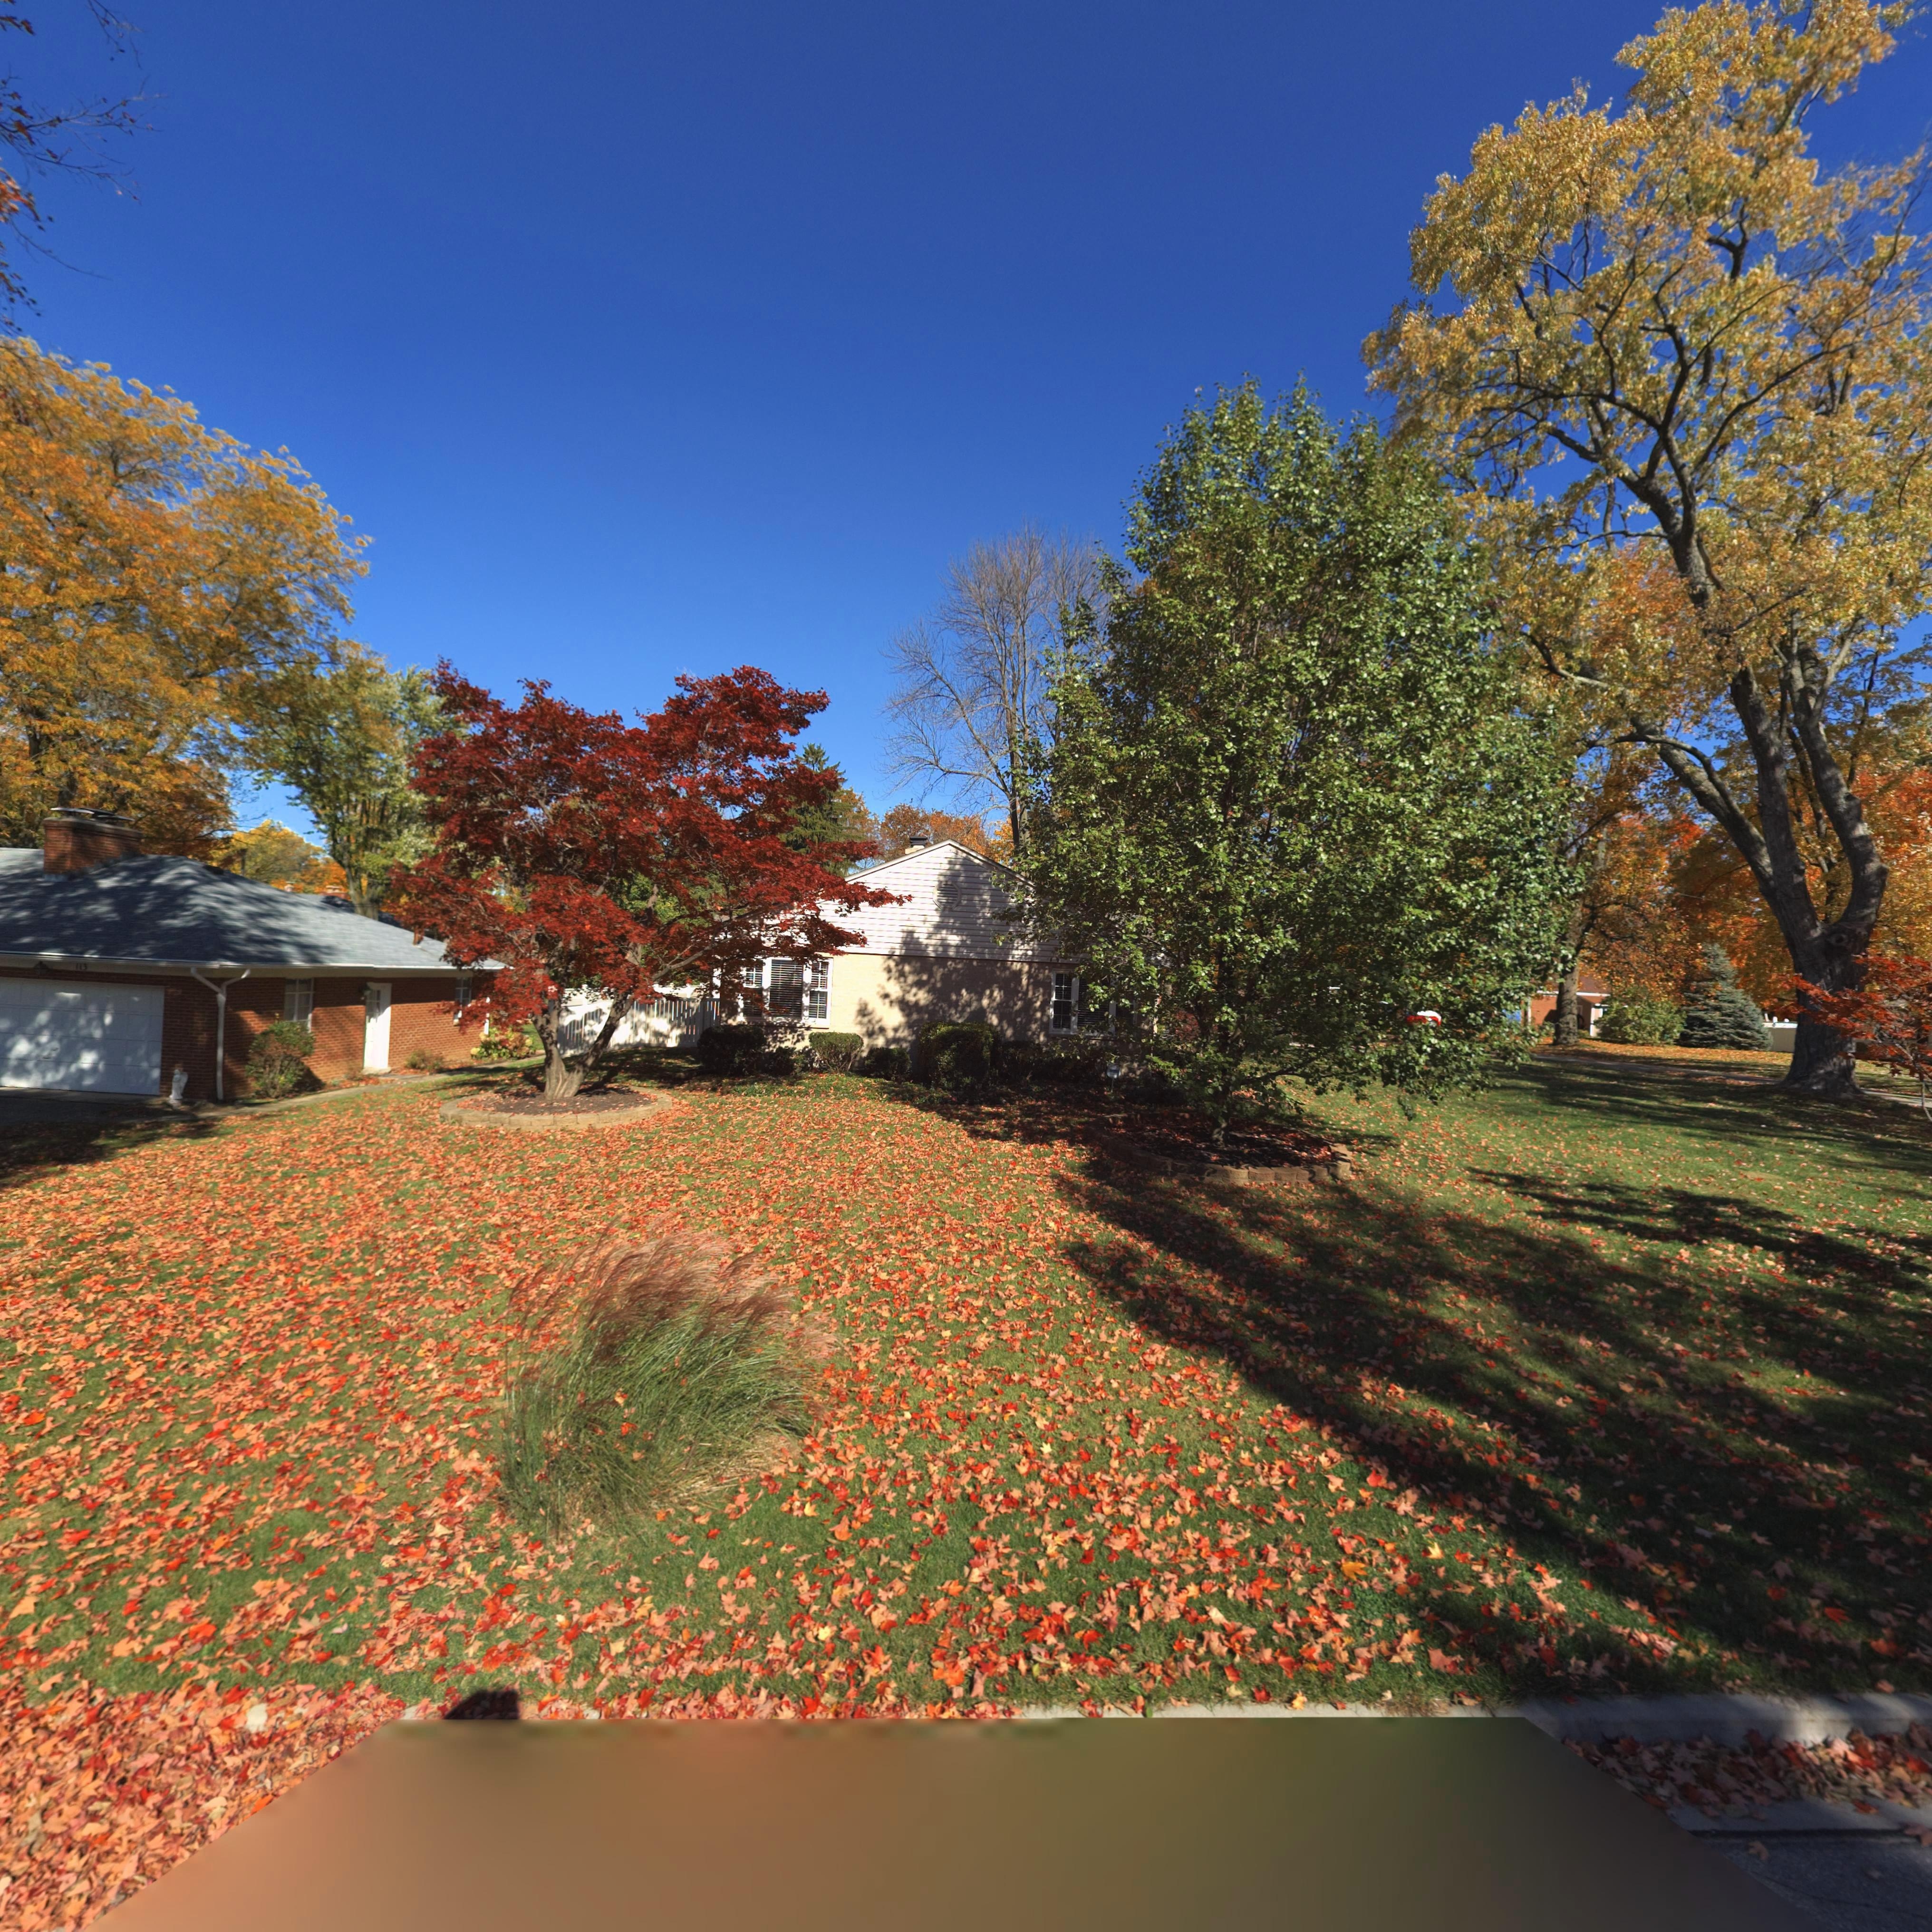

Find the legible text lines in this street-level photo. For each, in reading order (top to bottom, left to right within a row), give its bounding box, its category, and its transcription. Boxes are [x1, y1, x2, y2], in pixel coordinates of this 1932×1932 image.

[75, 962, 88, 971] StreetNumber: 113